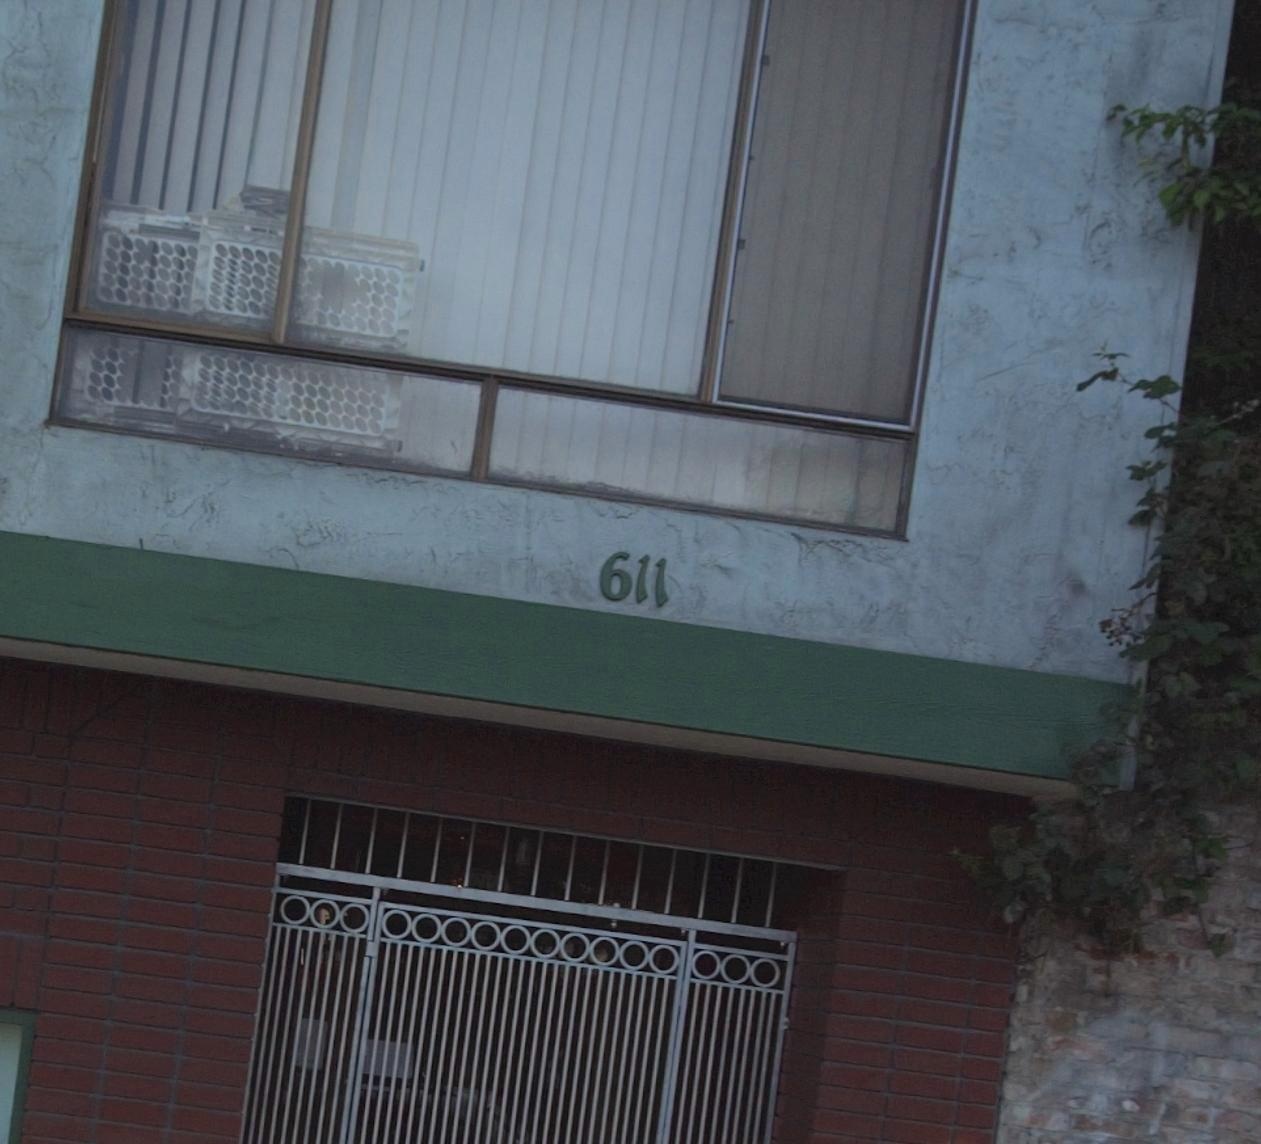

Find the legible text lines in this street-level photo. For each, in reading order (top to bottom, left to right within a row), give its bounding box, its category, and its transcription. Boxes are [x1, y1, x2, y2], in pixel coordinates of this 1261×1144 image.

[596, 547, 672, 611] StreetNumber: 611